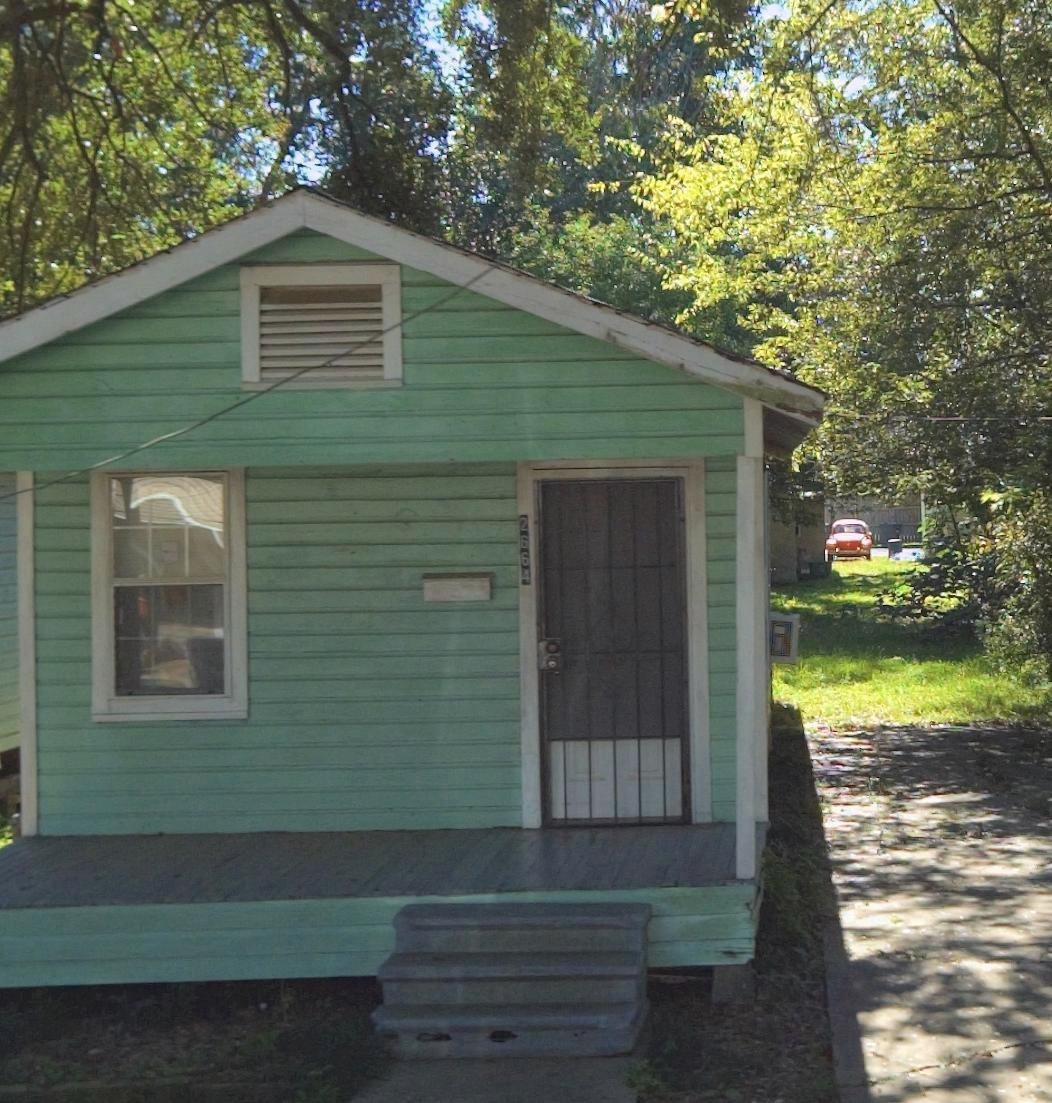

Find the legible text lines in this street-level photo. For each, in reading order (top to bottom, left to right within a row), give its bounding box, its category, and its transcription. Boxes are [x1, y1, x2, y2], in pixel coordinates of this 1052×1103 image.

[518, 515, 533, 587] StreetNumber: 2664